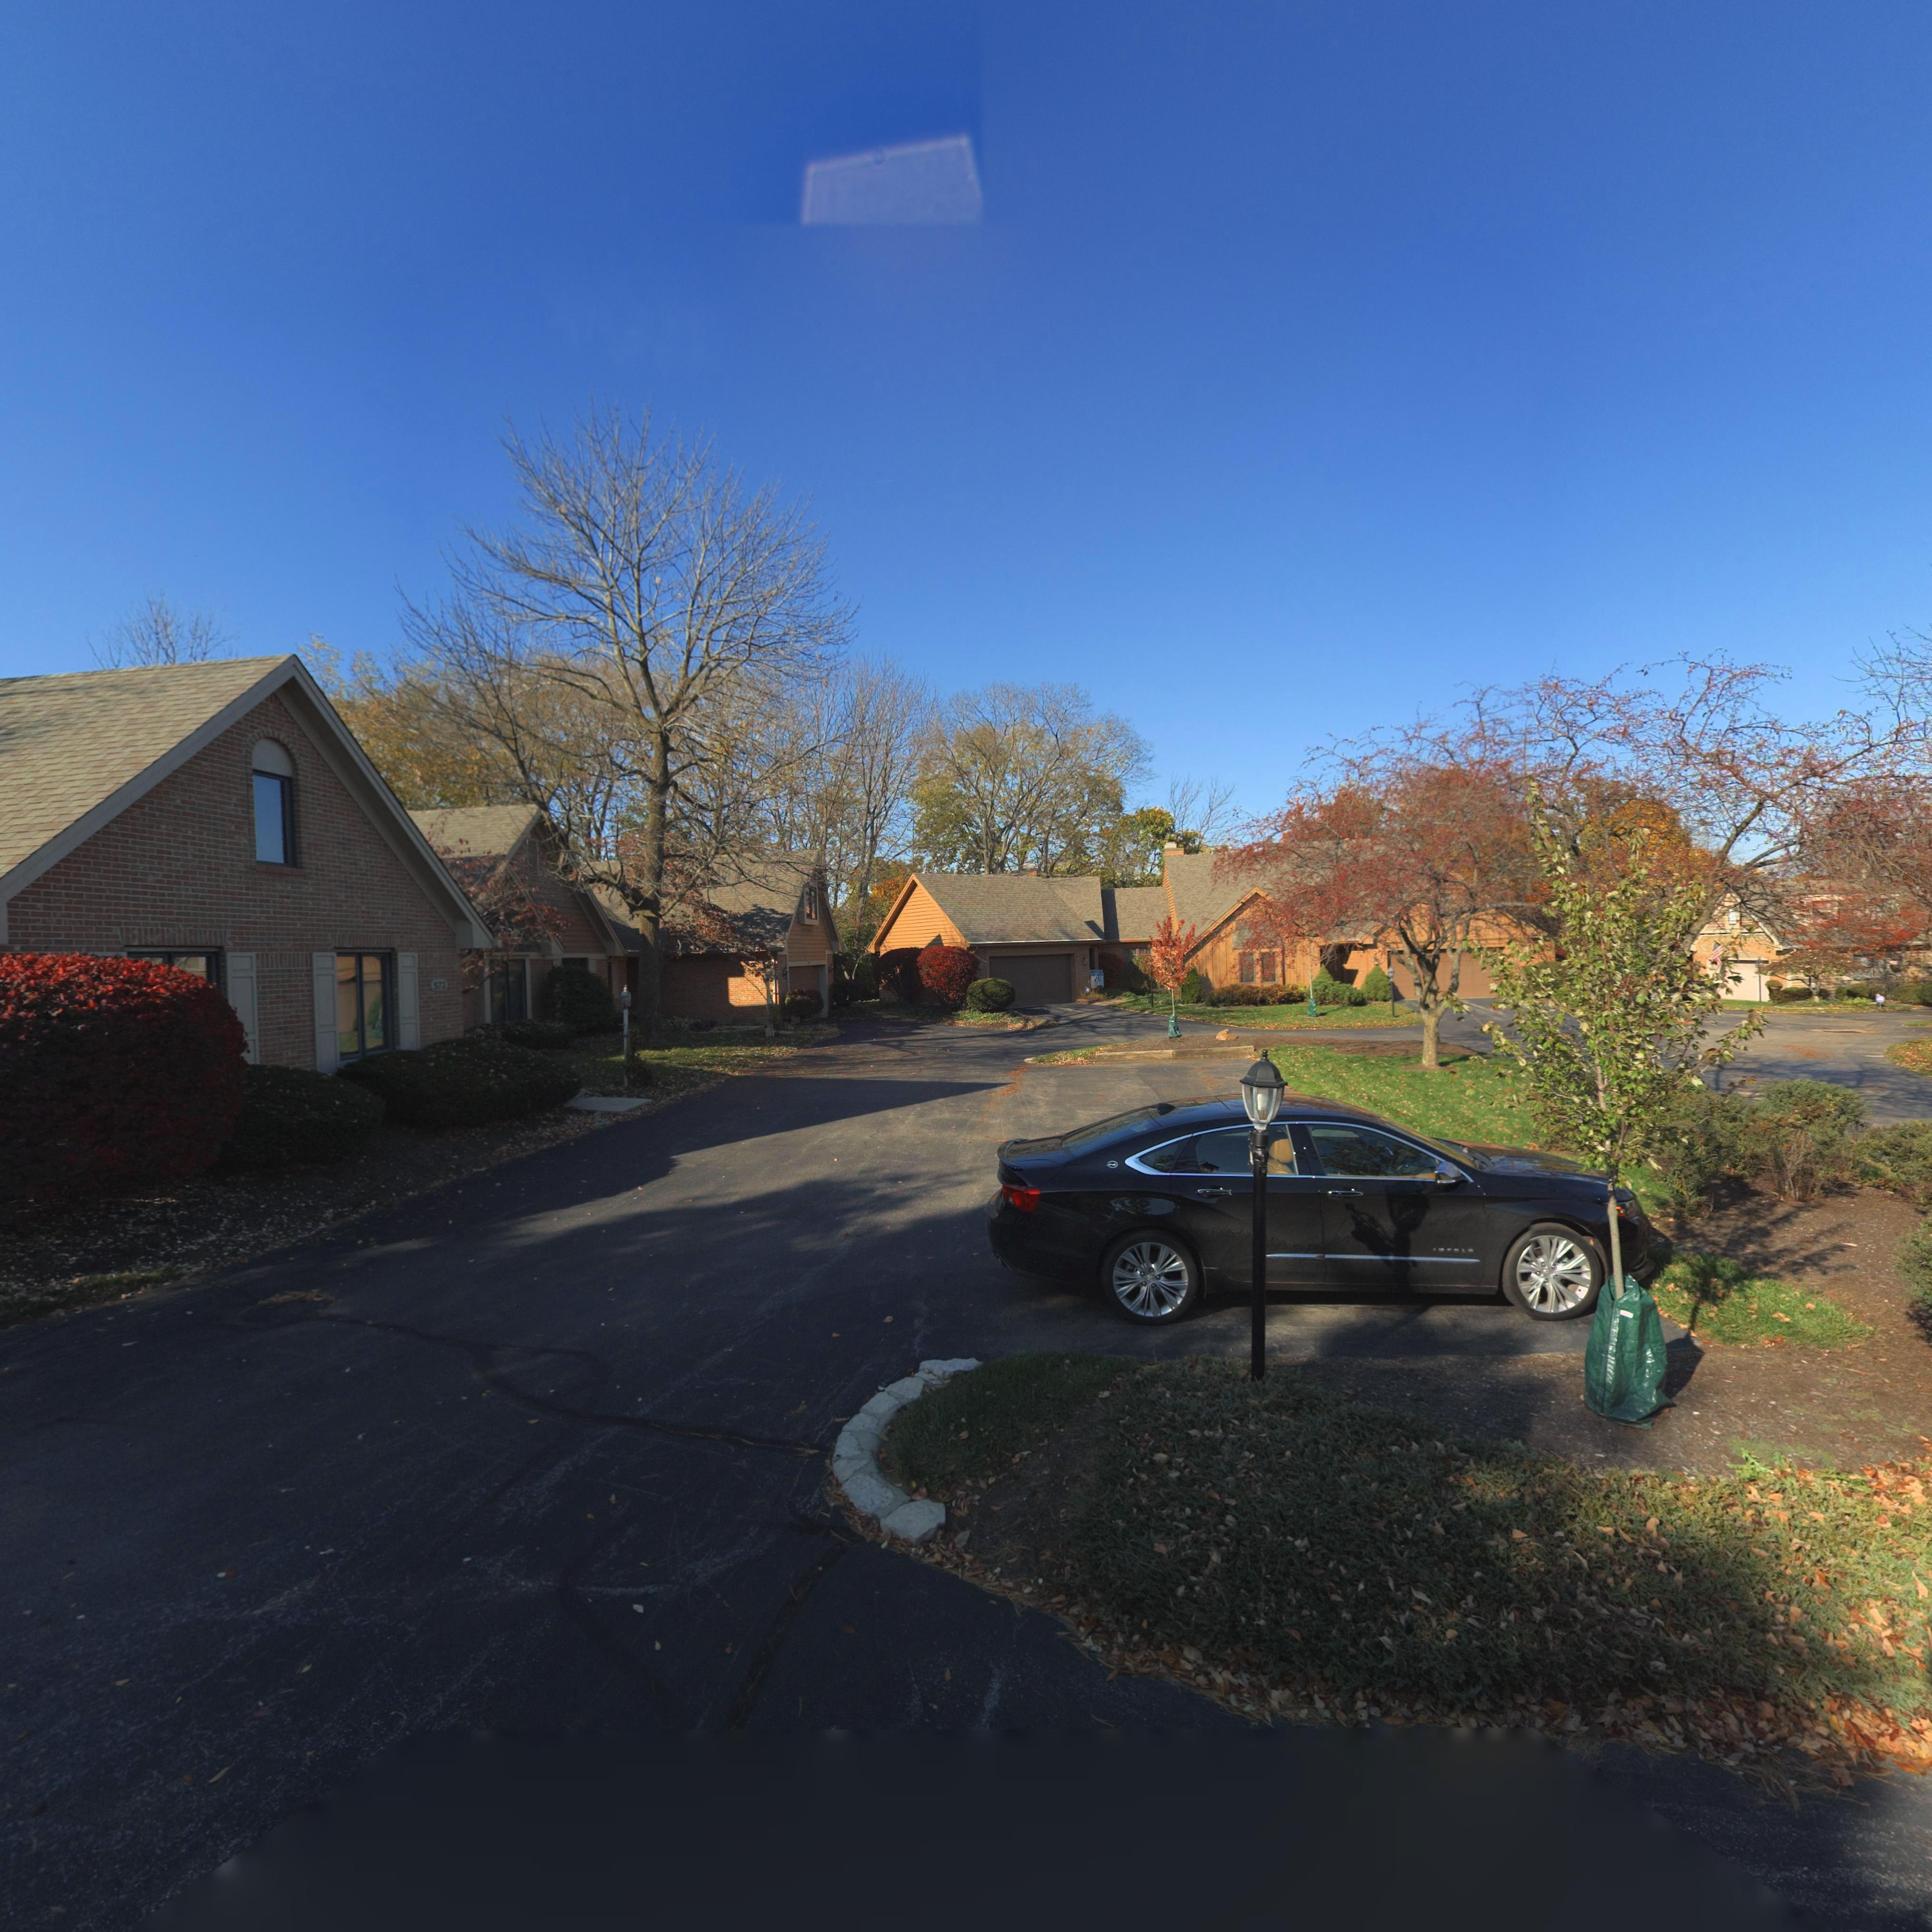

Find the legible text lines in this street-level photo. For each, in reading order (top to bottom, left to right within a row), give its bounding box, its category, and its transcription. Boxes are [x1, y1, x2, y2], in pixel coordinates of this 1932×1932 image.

[433, 981, 446, 989] StreetNumber: 573